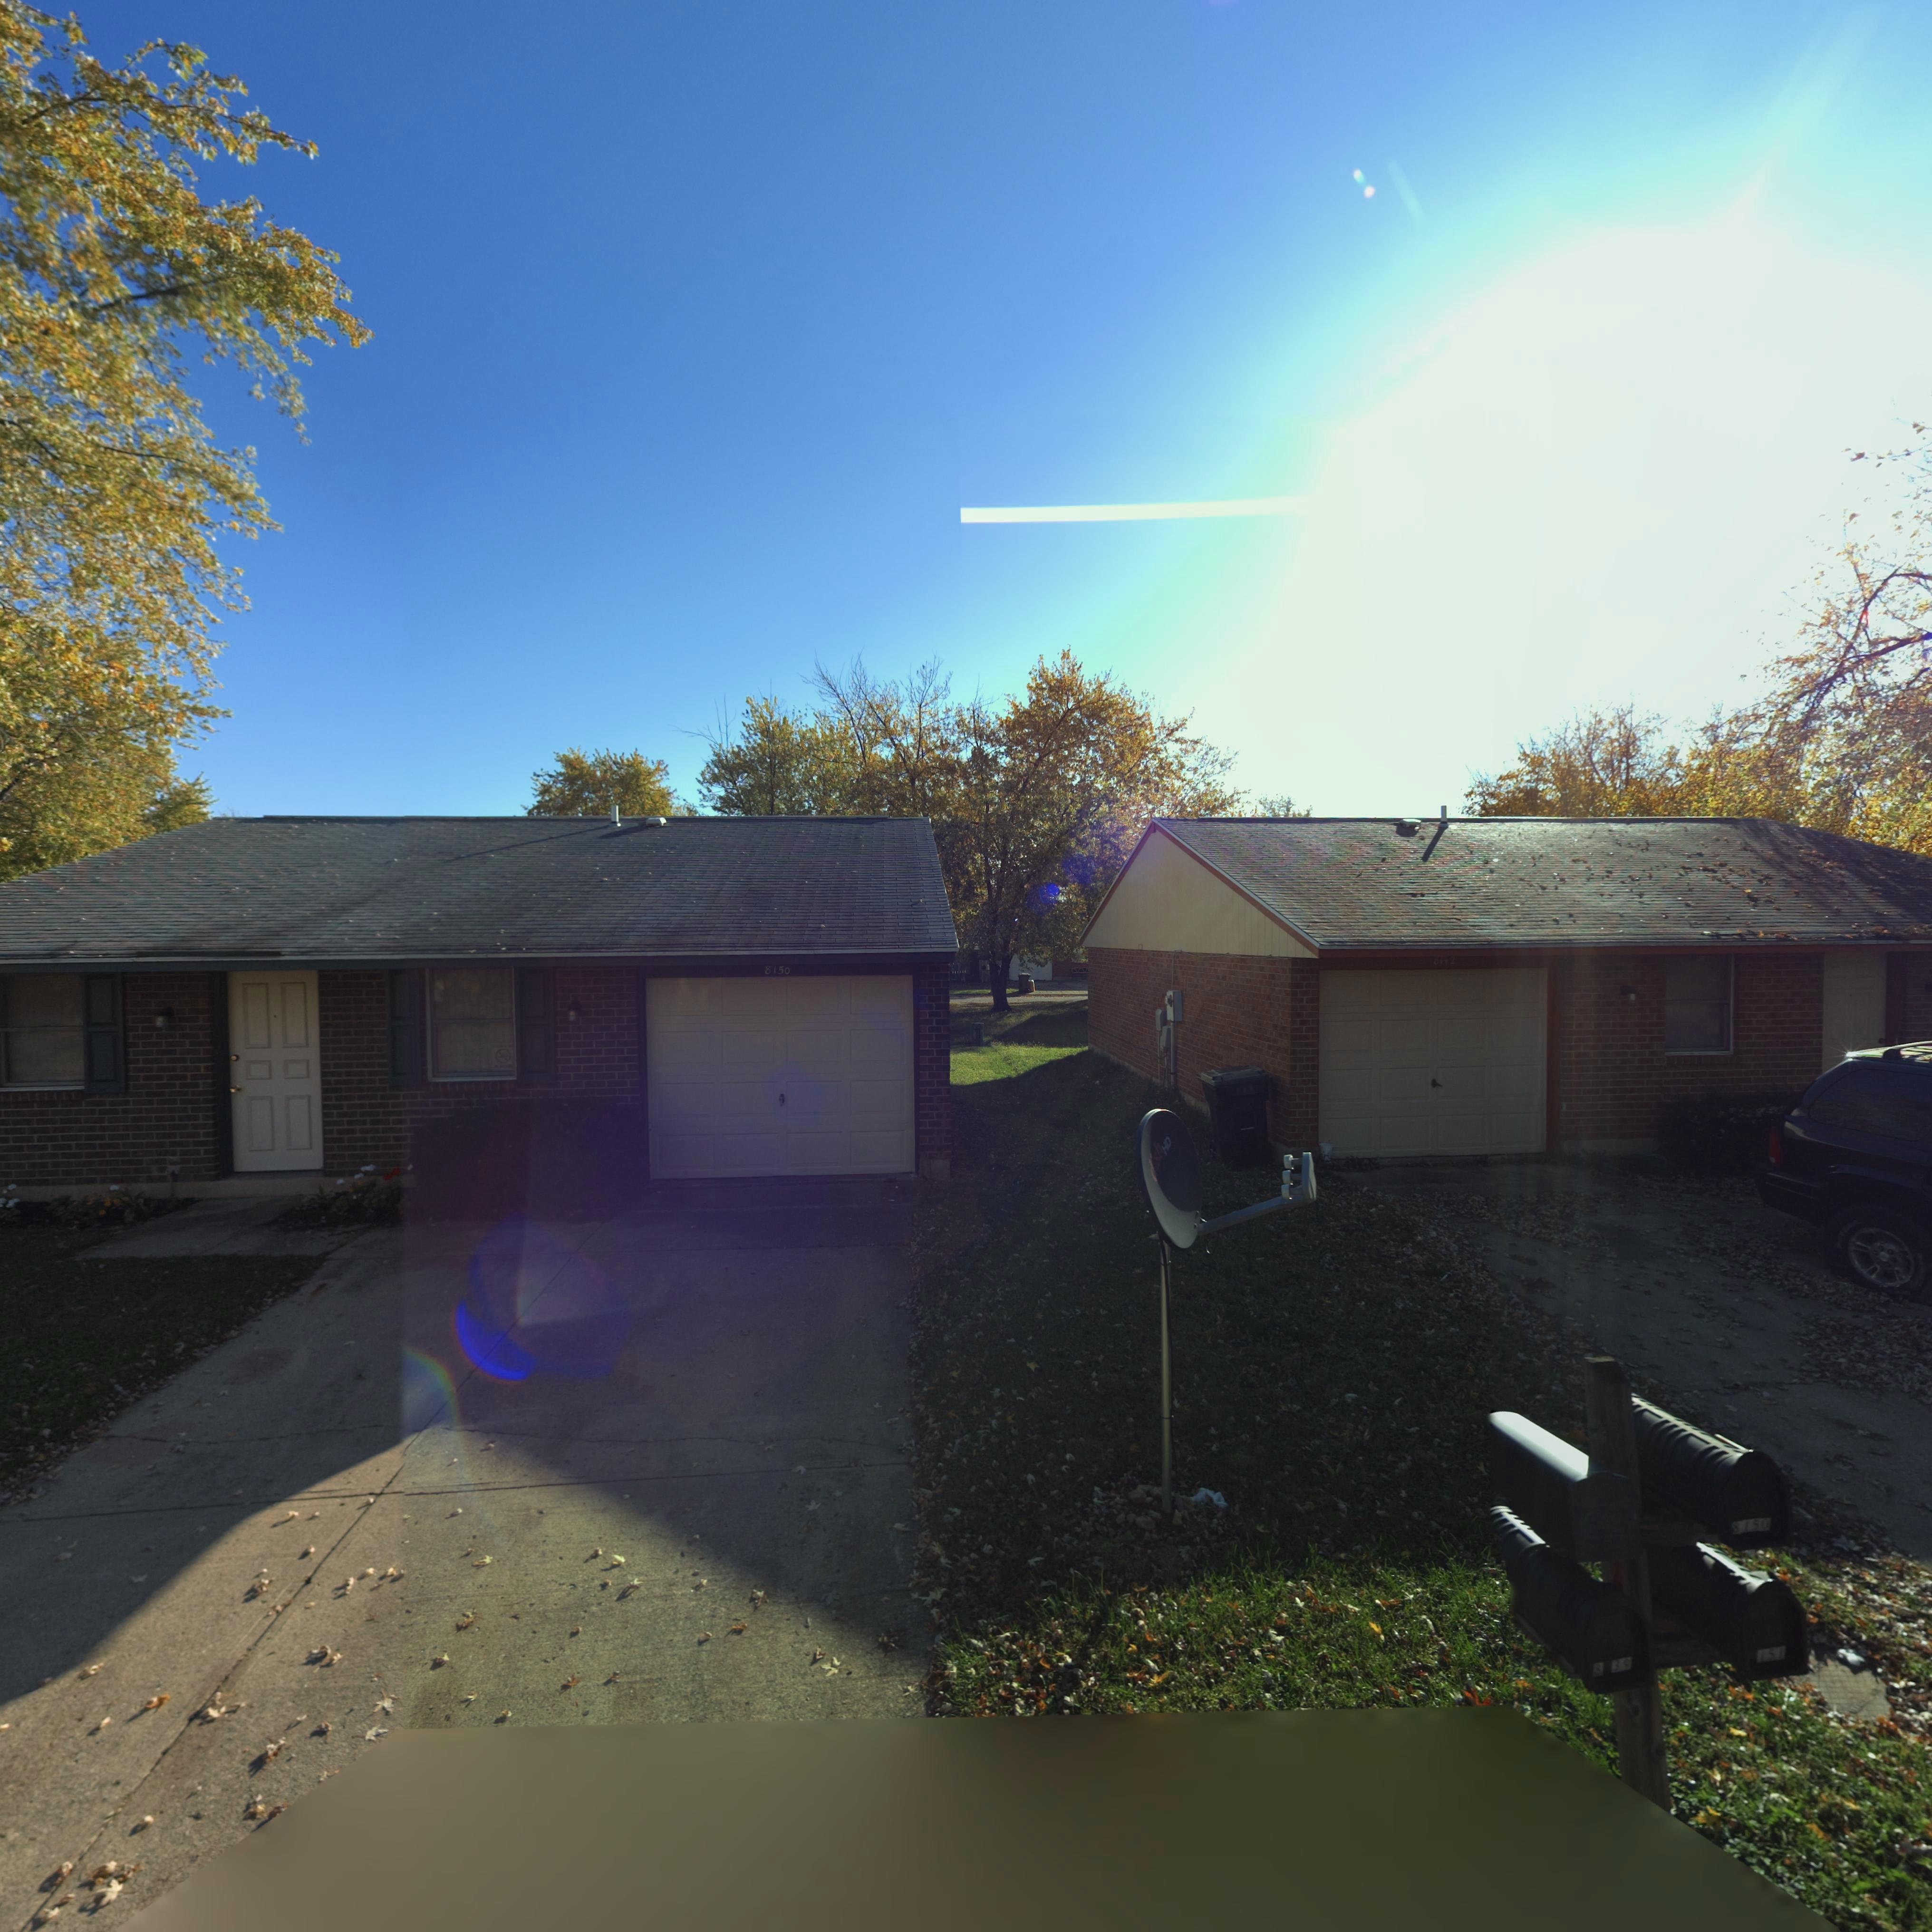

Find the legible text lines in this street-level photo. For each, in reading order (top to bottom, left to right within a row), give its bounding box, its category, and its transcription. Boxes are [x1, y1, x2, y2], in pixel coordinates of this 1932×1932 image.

[763, 965, 792, 976] StreetNumber: 8150
[1432, 955, 1456, 967] StreetNumber: 8142
[1732, 1517, 1770, 1536] StreetNumber: 8150
[1758, 1646, 1785, 1665] StreetNumber: 151
[1593, 1656, 1633, 1679] StreetNumber: 8*39